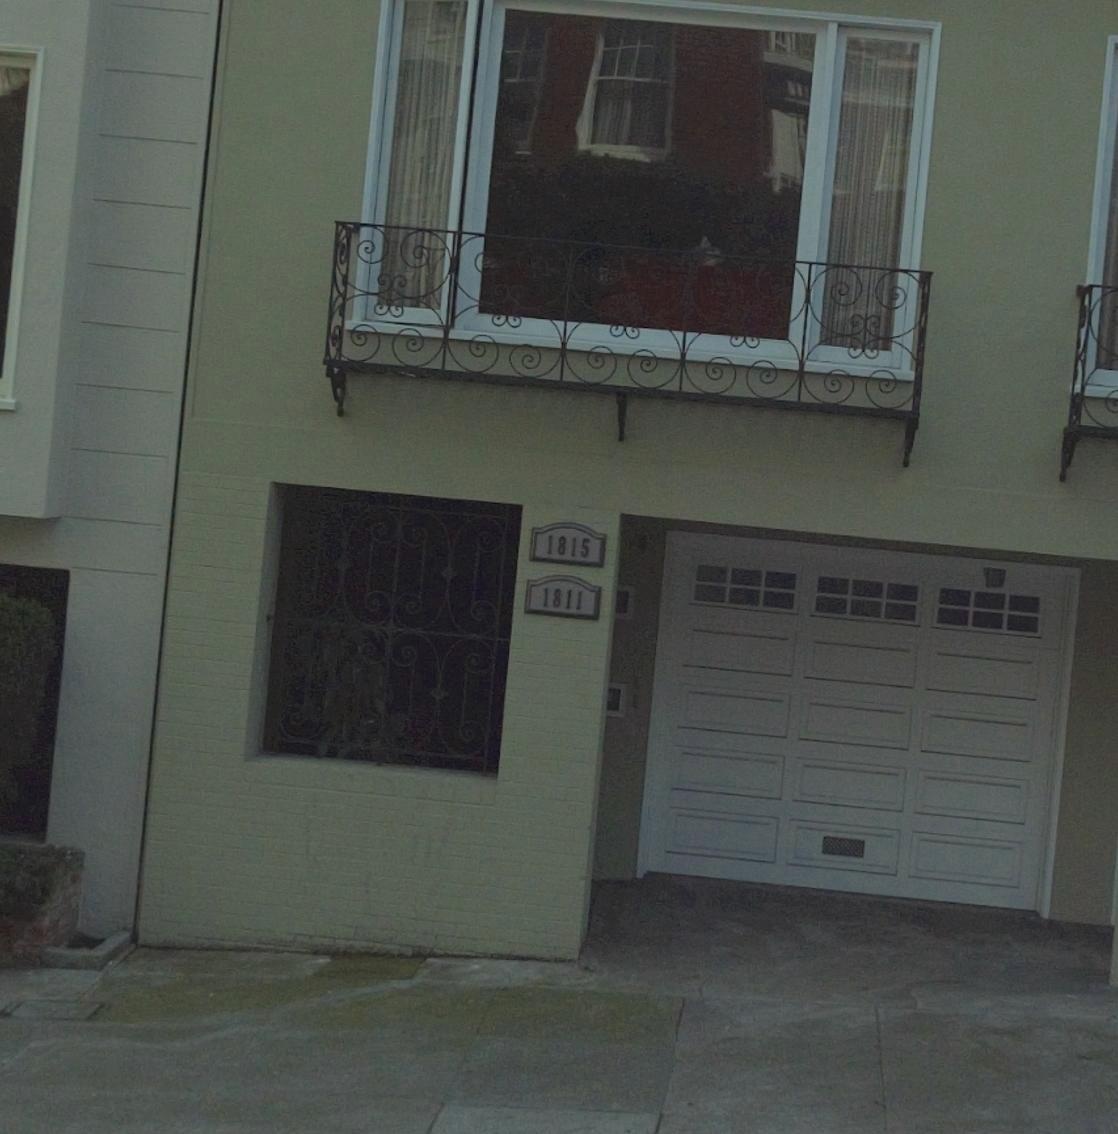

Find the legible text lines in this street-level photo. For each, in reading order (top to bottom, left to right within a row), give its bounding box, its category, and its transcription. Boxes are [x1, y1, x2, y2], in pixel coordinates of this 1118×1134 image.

[544, 531, 593, 561] StreetNumber: 1815
[539, 583, 585, 613] StreetNumber: 1811